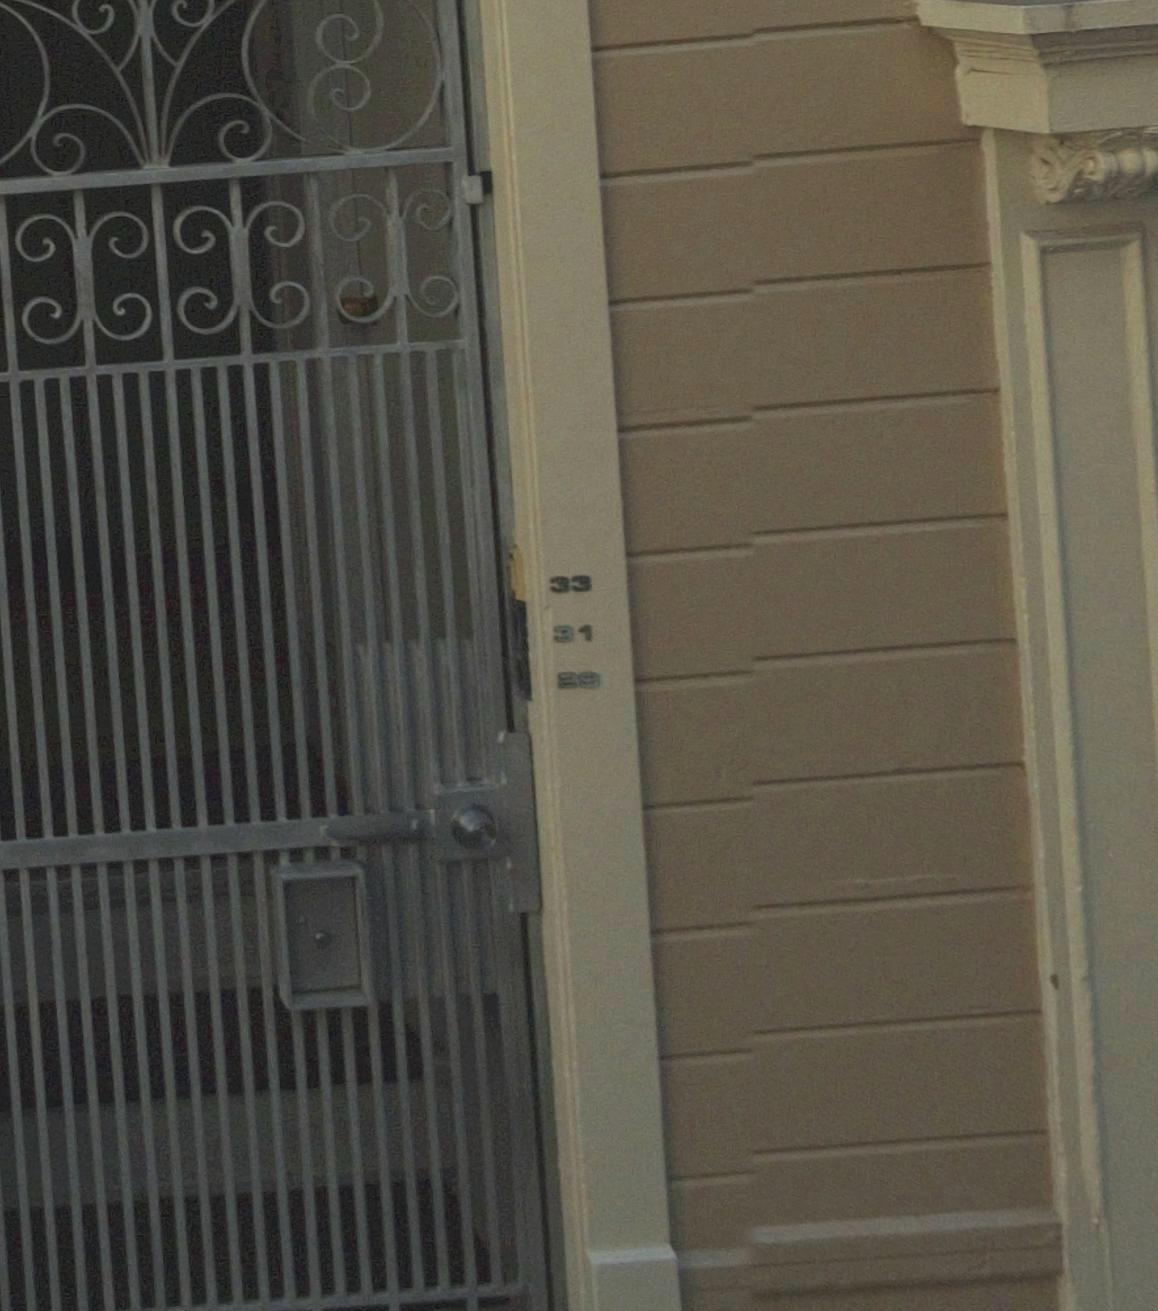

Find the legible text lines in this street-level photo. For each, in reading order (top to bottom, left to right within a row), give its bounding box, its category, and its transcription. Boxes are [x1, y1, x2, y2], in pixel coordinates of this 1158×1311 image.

[543, 569, 600, 598] StreetNumber: 33
[547, 619, 602, 649] StreetNumber: 31
[552, 664, 608, 695] StreetNumber: 29